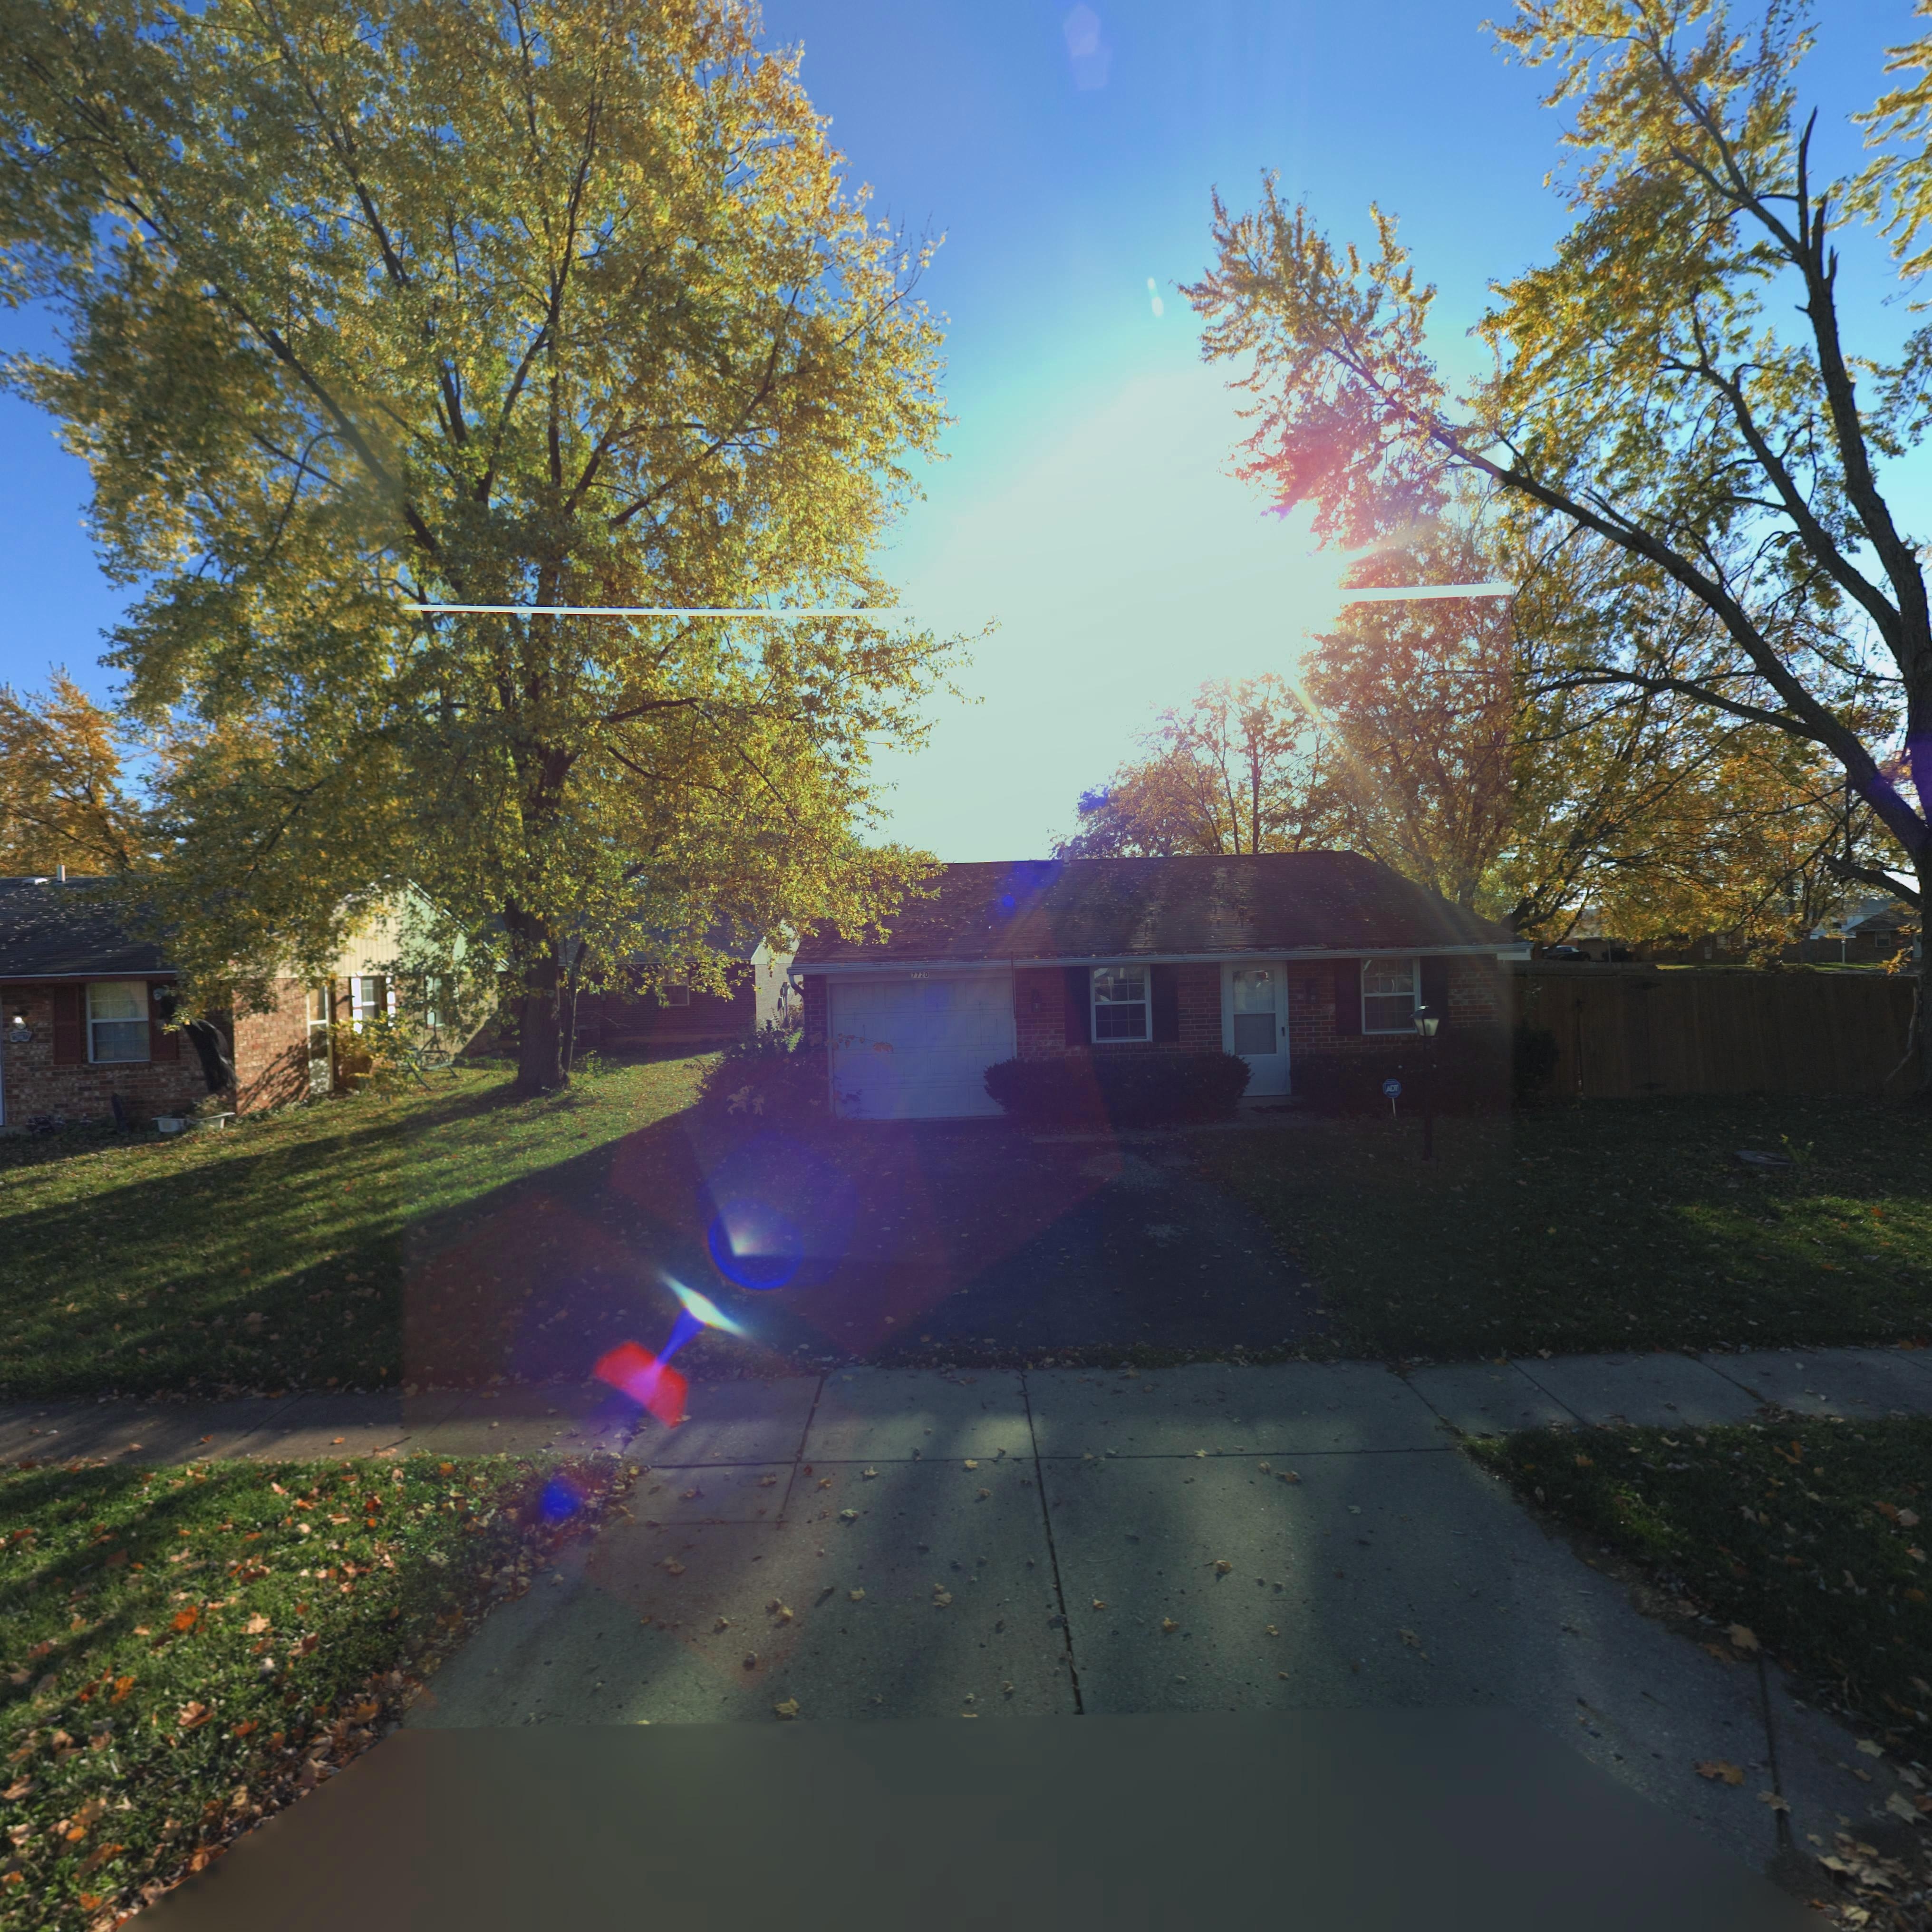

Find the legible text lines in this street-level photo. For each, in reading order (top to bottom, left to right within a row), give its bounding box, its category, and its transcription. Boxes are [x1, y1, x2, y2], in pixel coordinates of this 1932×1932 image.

[910, 971, 929, 979] StreetNumber: 7720
[1385, 1083, 1399, 1094] None: ADT